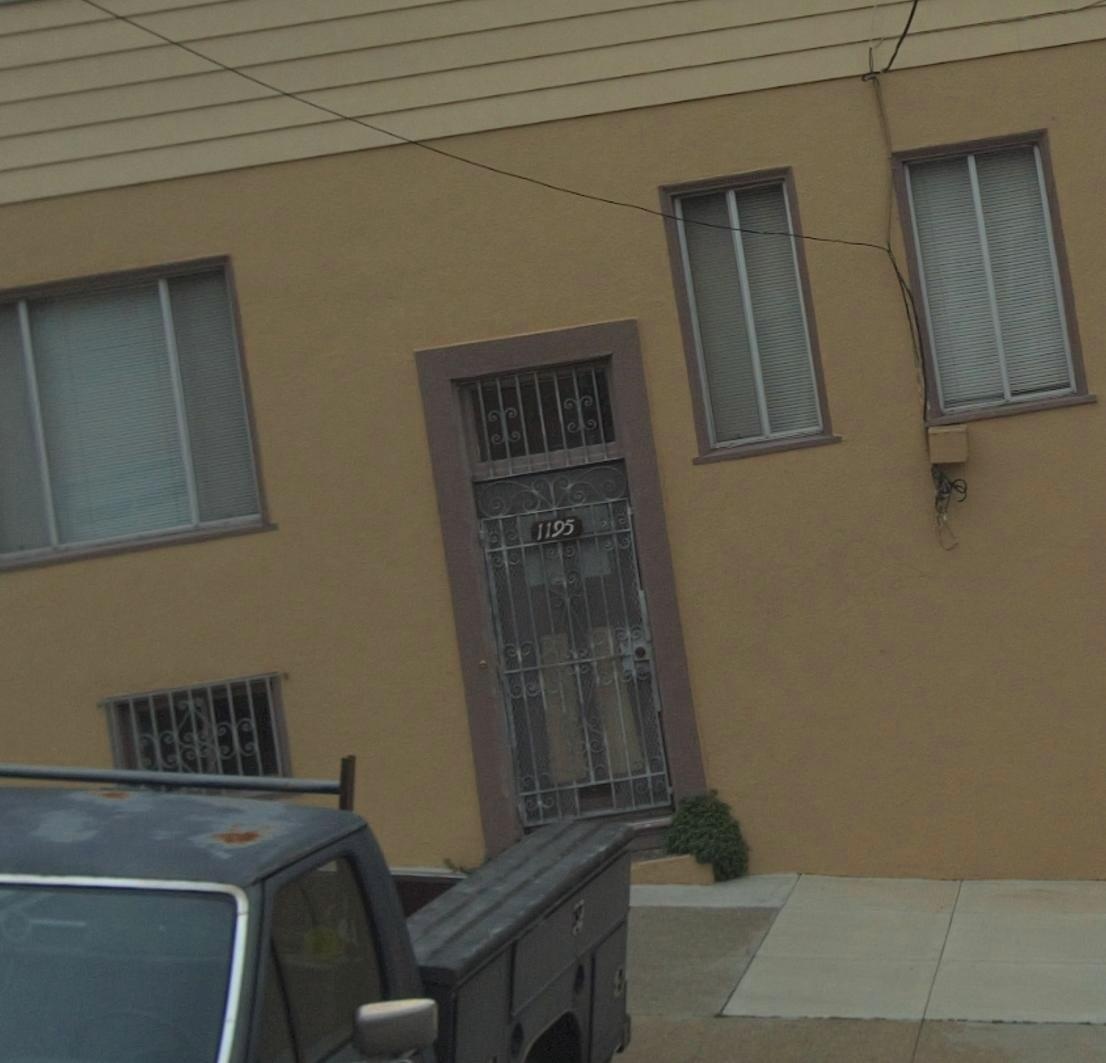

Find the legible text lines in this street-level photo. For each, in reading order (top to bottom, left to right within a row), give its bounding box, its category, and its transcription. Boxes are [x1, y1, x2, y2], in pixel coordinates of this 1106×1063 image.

[534, 517, 575, 542] StreetNumber: 1195